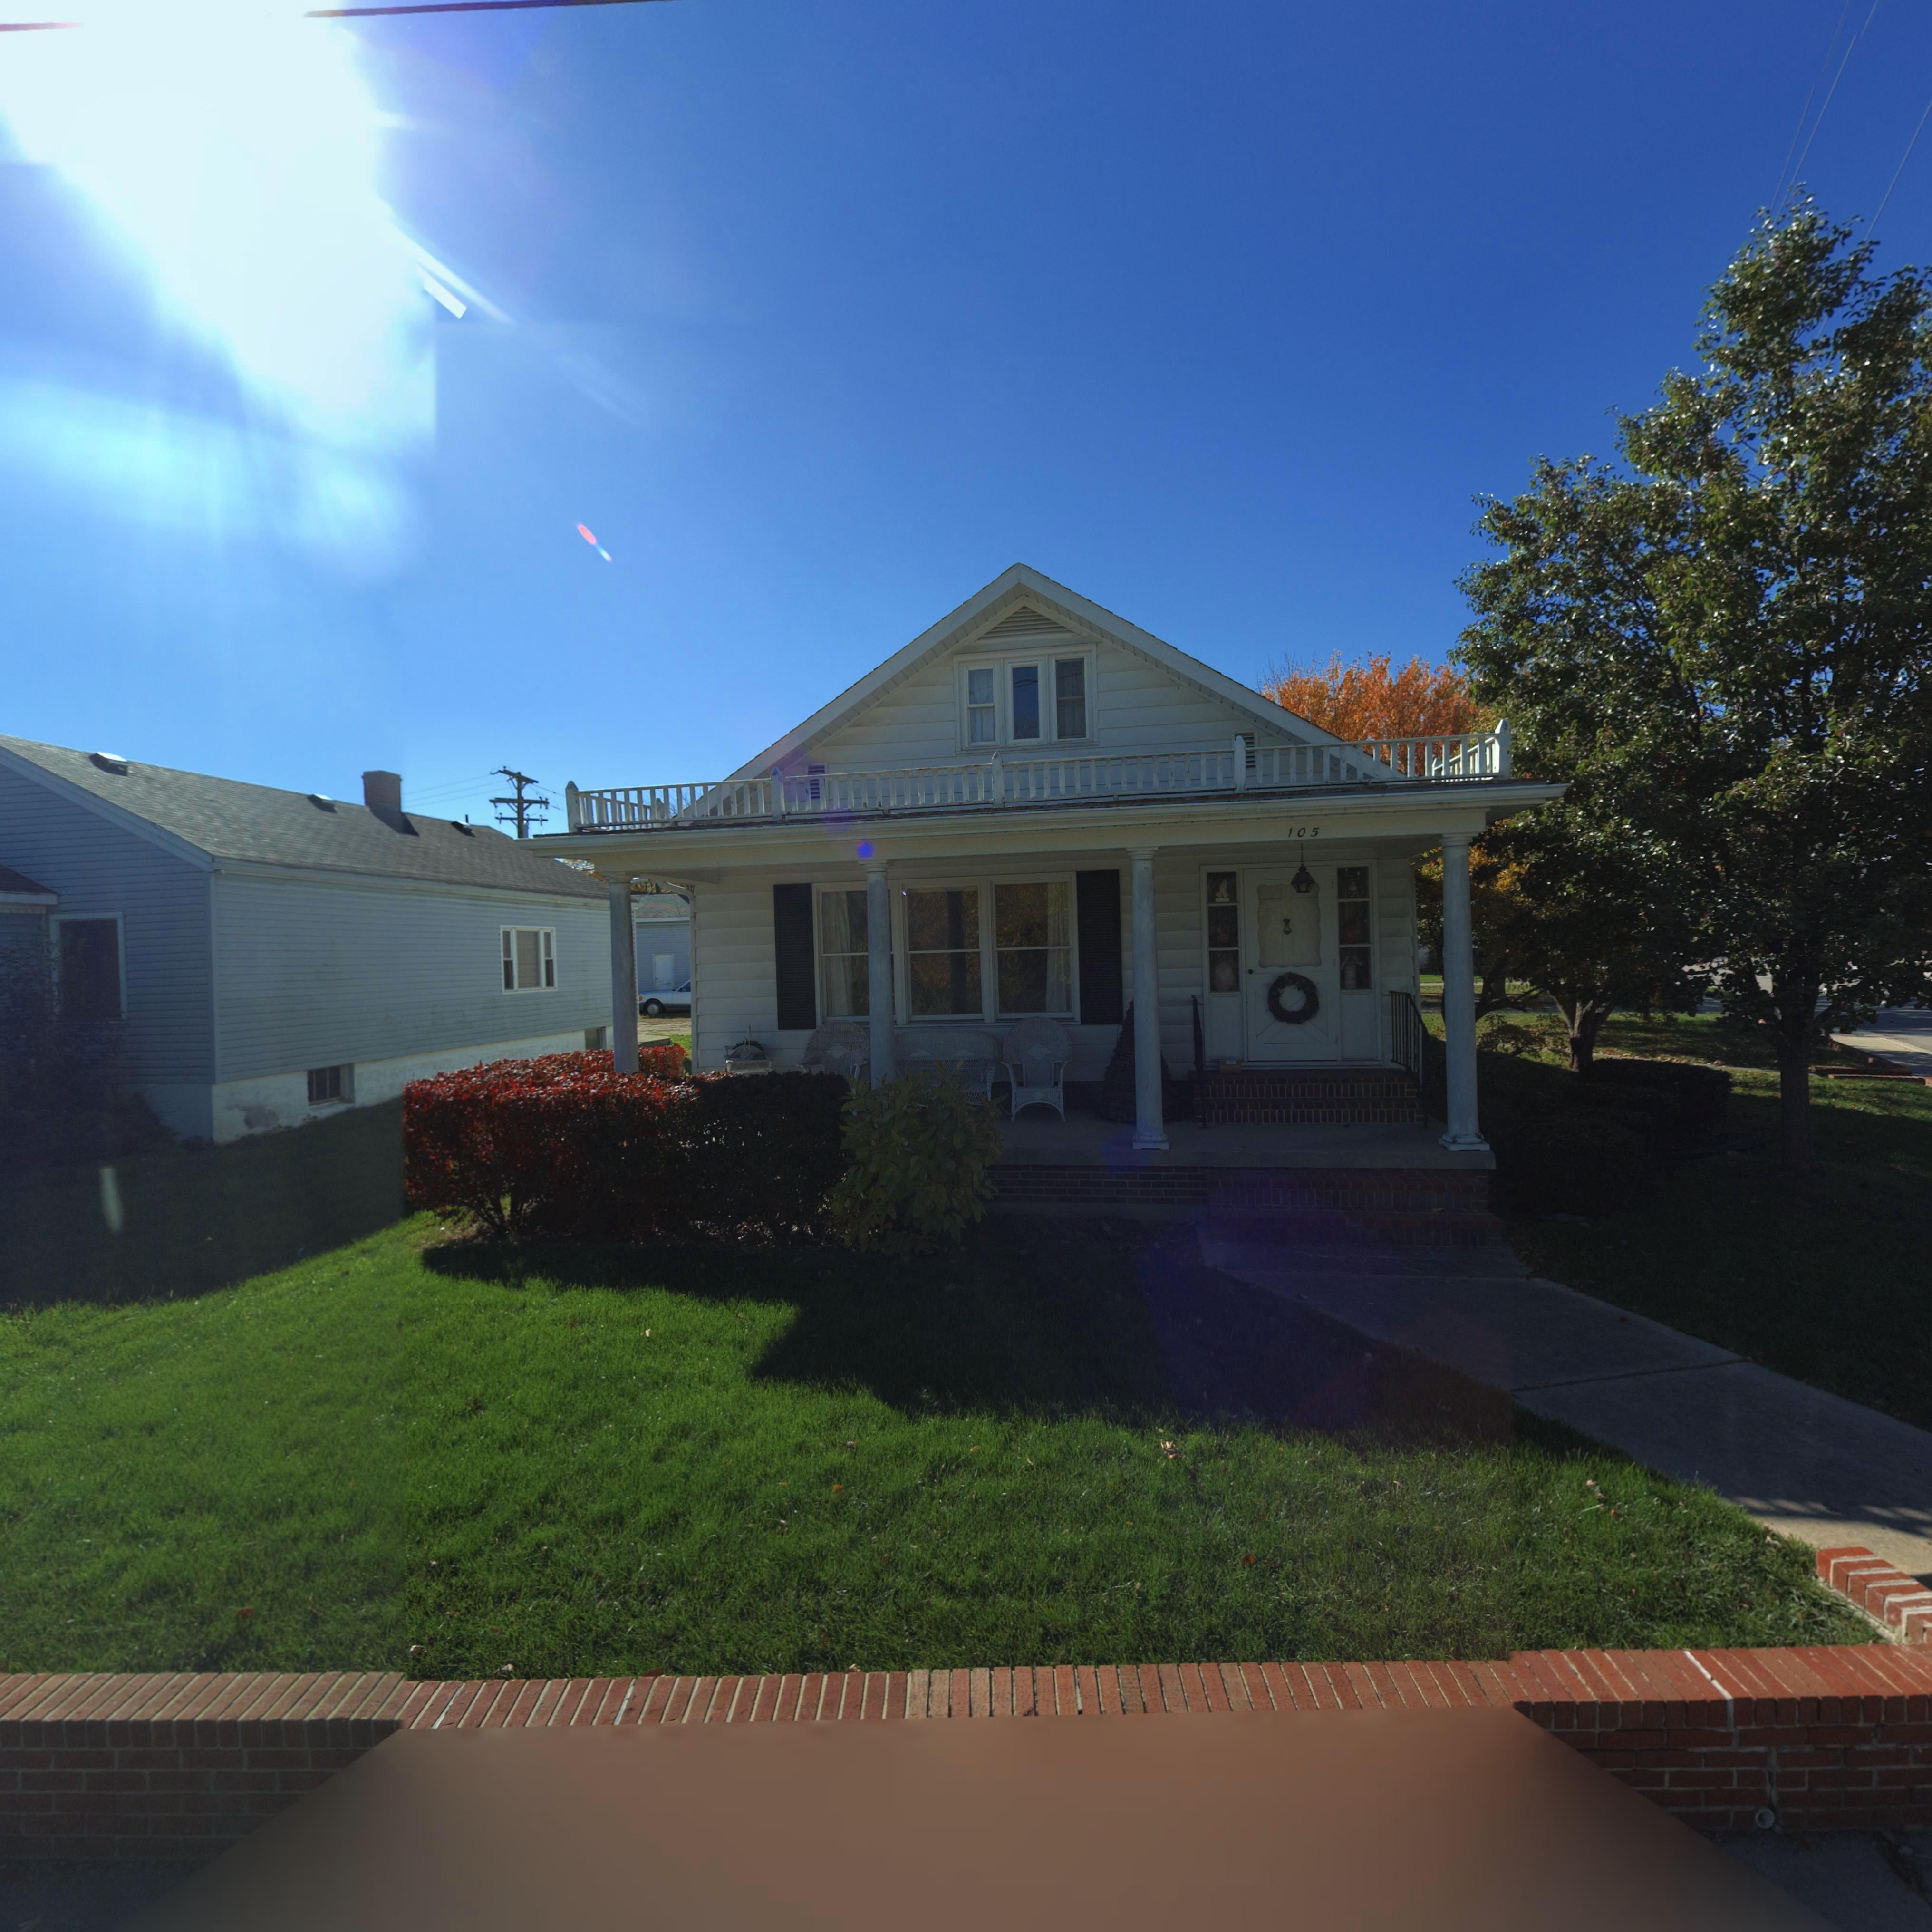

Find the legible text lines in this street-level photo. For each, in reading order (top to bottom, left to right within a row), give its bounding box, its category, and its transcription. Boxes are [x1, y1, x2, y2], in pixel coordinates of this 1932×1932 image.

[1286, 826, 1321, 840] StreetNumber: 105